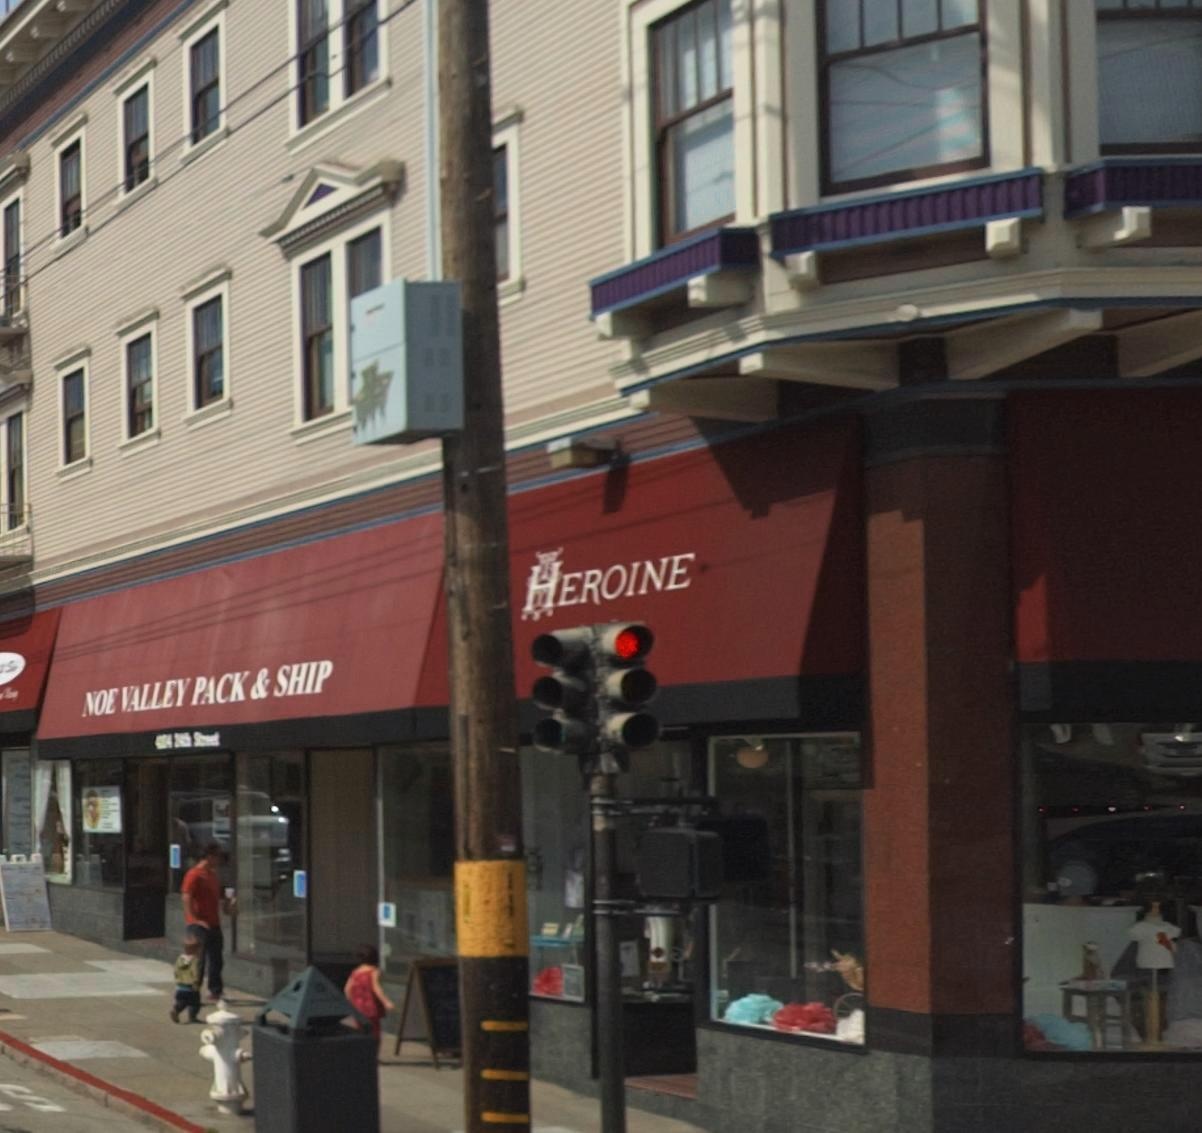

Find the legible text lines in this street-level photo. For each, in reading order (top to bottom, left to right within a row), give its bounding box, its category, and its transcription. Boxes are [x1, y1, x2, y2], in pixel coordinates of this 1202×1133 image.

[521, 550, 699, 617] BusinessName: HEROINE
[78, 658, 338, 721] BusinessName: NOE VALLEY PACK & SHIP
[151, 732, 174, 751] StreetNumber: 4**4
[171, 729, 222, 749] StreetName: 2*** s**eet